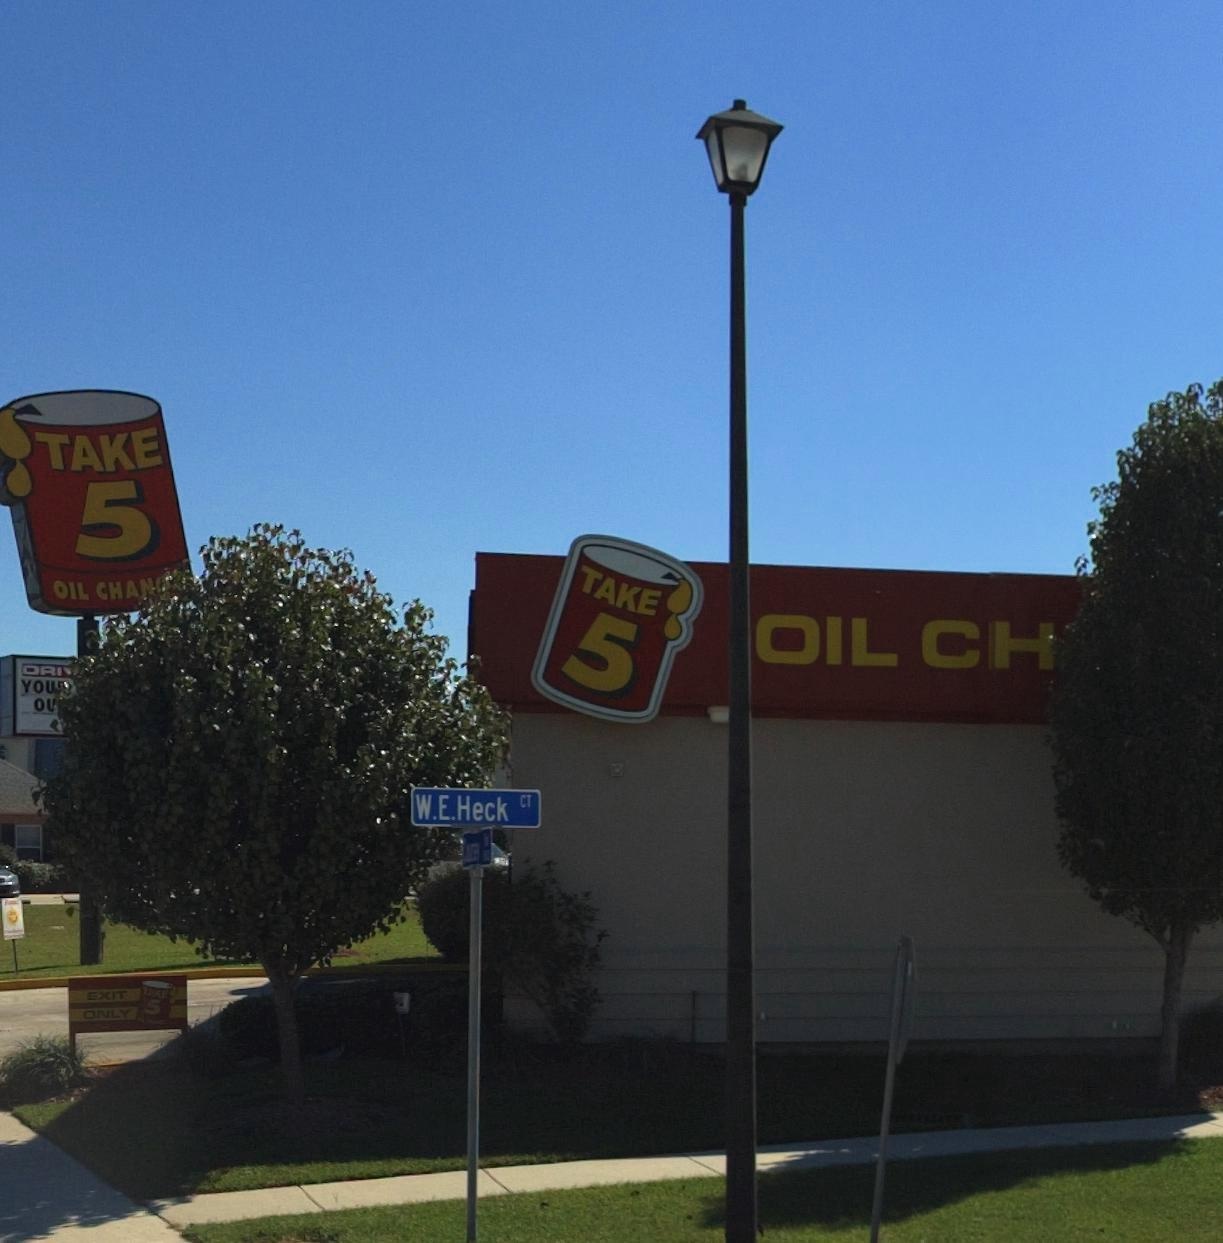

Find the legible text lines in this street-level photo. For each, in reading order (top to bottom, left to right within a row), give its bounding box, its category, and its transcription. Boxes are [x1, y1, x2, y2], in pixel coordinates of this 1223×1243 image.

[30, 424, 167, 475] BusinessName: TAKE
[72, 477, 157, 560] BusinessName: 5
[50, 574, 158, 602] BusinessName: OIL CHAN
[578, 560, 670, 620] BusinessName: TAKE
[556, 608, 641, 696] BusinessName: 5
[746, 609, 1060, 678] BusinessName: OIL CH
[20, 662, 64, 679] None: DRI
[18, 677, 58, 696] None: YOU
[31, 695, 47, 715] None: O
[411, 790, 535, 825] StreetName: W.E.Heck CT
[80, 1006, 133, 1023] None: ONLY
[84, 988, 131, 1003] None: EXIT
[141, 998, 165, 1018] BusinessName: 5
[140, 983, 171, 1001] BusinessName: TAKE